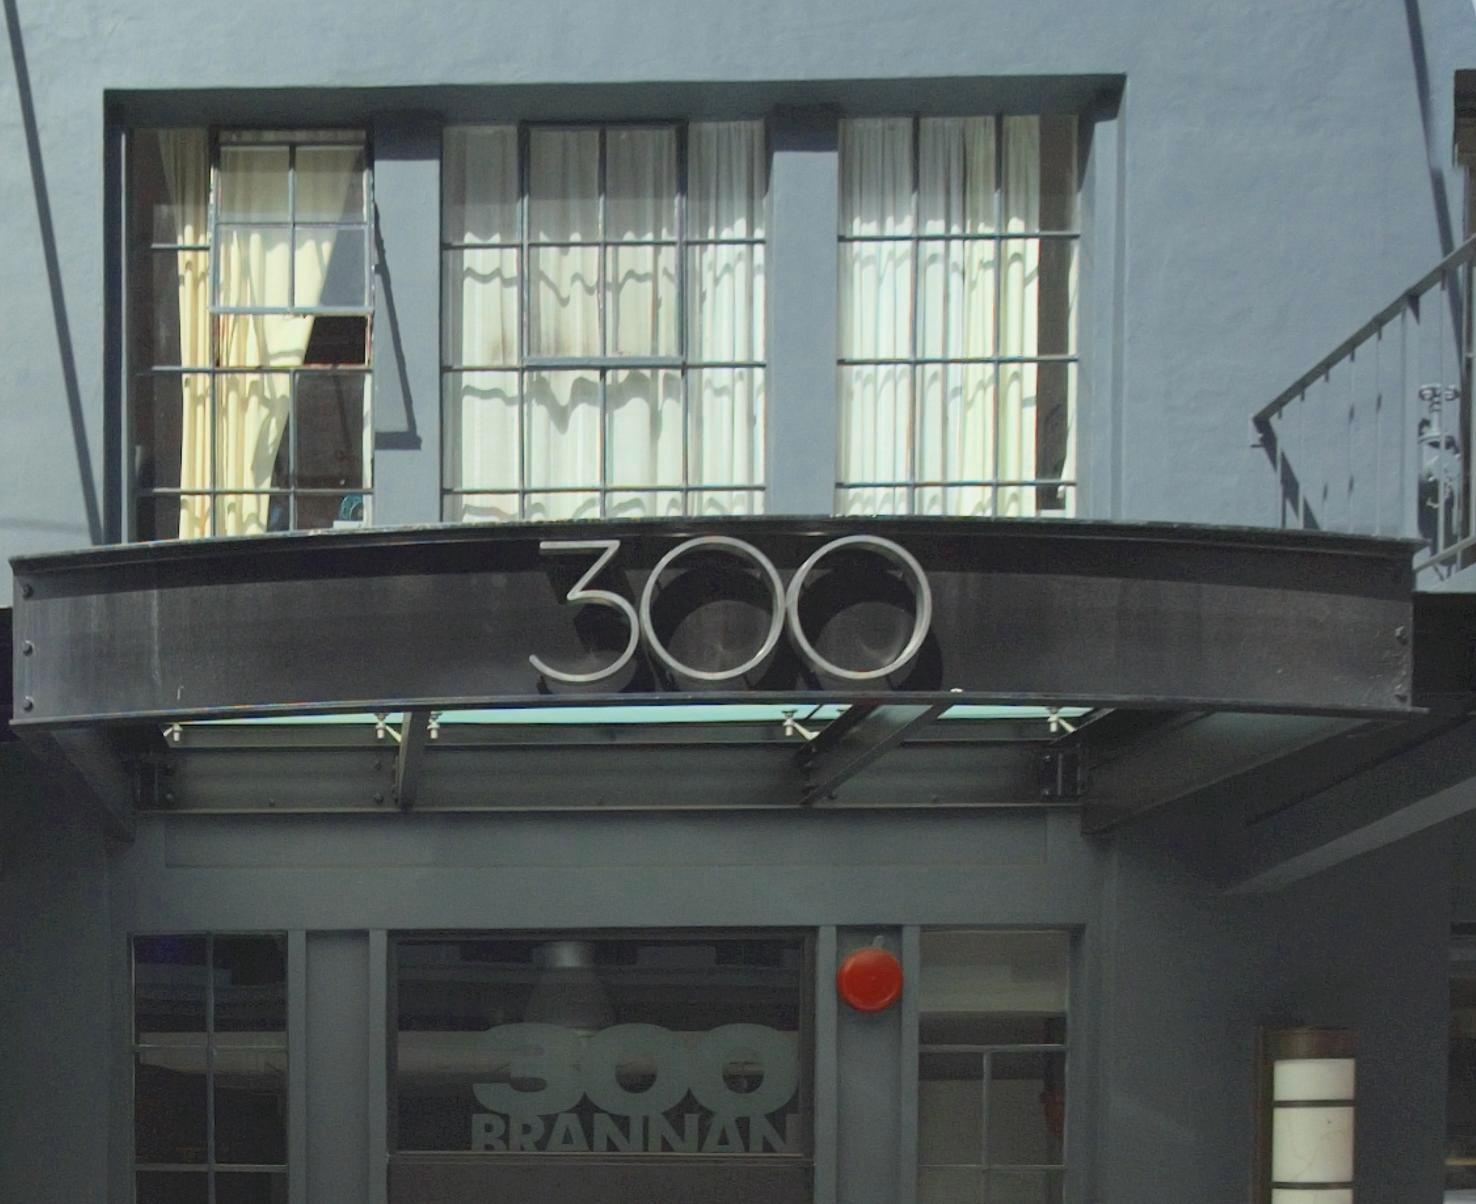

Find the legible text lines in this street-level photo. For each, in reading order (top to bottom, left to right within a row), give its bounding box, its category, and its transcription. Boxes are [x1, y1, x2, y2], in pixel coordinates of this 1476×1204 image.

[521, 528, 941, 691] StreetNumber: 300
[465, 1012, 804, 1124] StreetNumber: 300
[463, 1108, 808, 1162] StreetName: BRANNAN